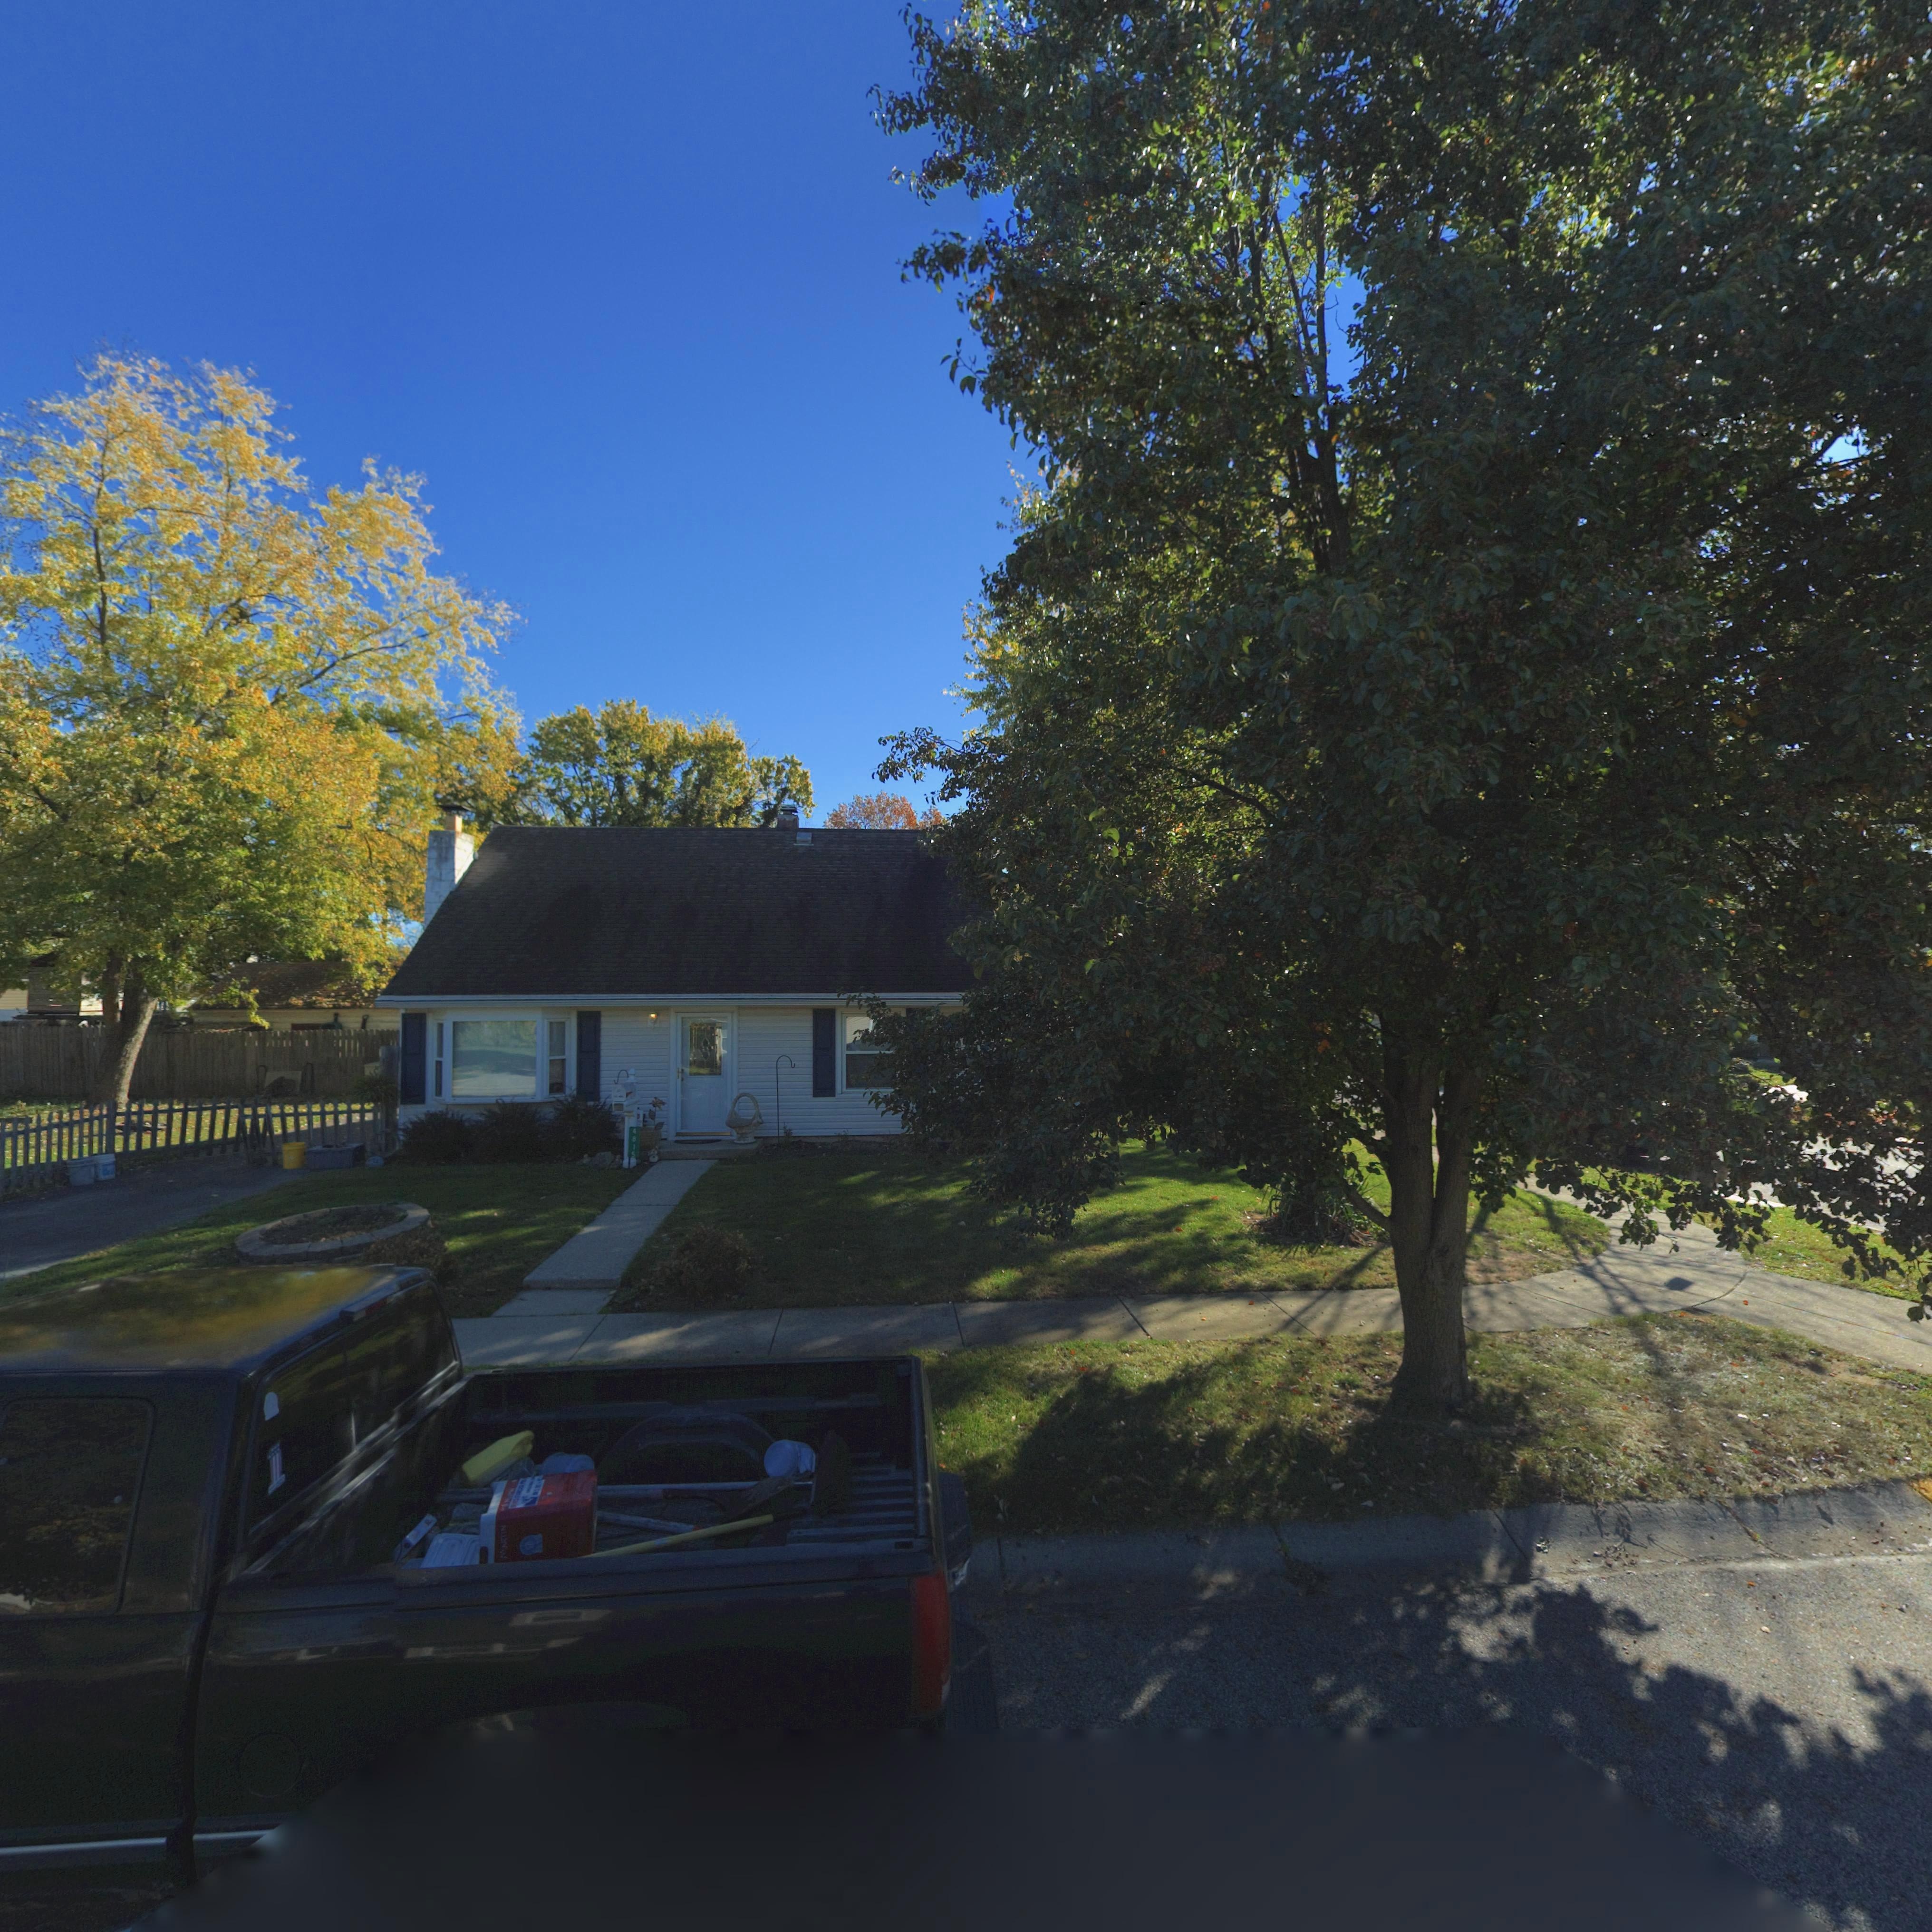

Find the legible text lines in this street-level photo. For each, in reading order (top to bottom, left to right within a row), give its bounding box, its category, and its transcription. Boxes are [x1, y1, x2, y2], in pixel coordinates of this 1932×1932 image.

[631, 1127, 637, 1159] StreetNumber: 4815